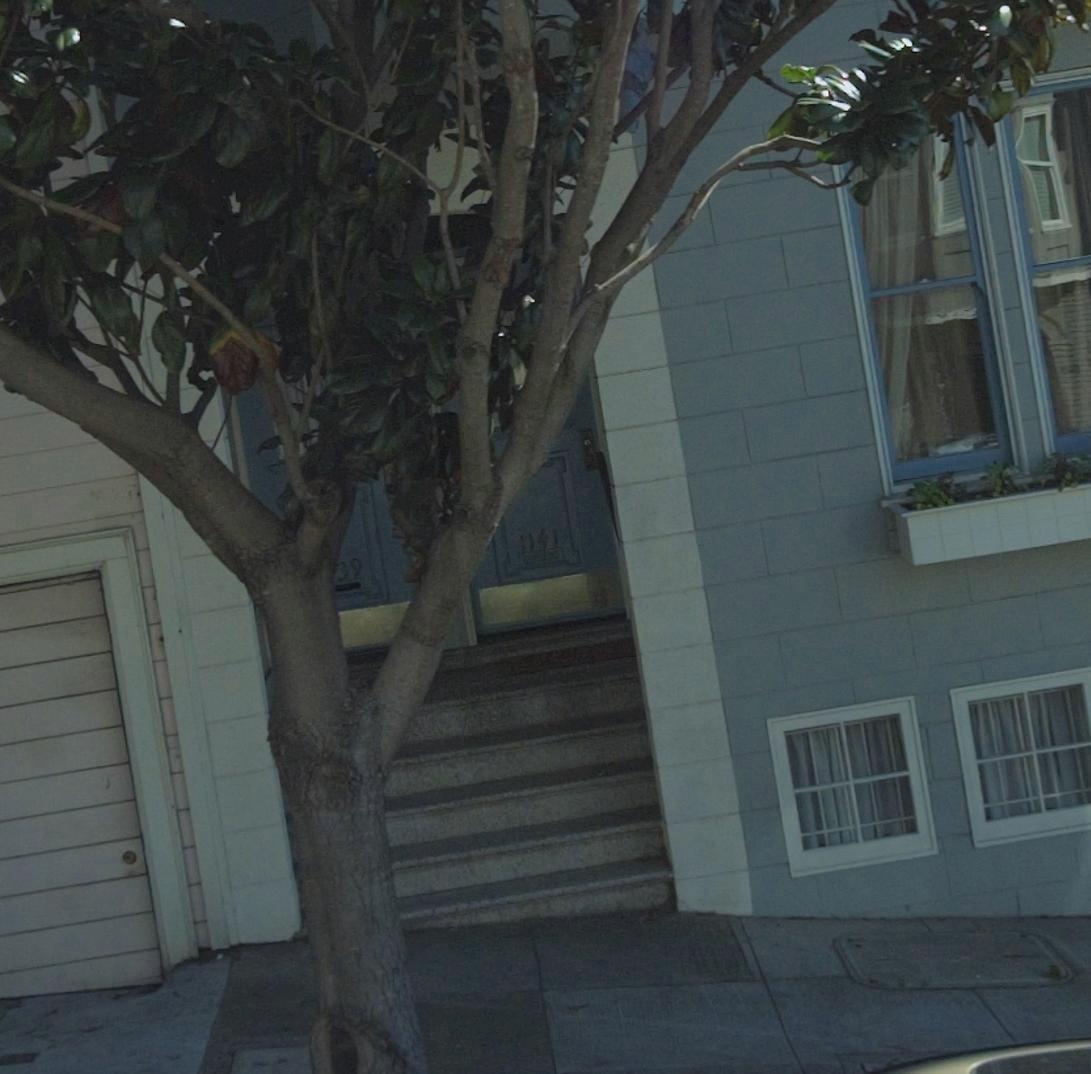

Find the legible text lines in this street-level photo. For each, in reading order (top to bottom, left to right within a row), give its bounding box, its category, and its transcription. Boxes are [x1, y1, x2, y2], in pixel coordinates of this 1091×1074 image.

[516, 526, 560, 554] StreetNumber: 1141
[336, 555, 365, 584] StreetNumber: 39